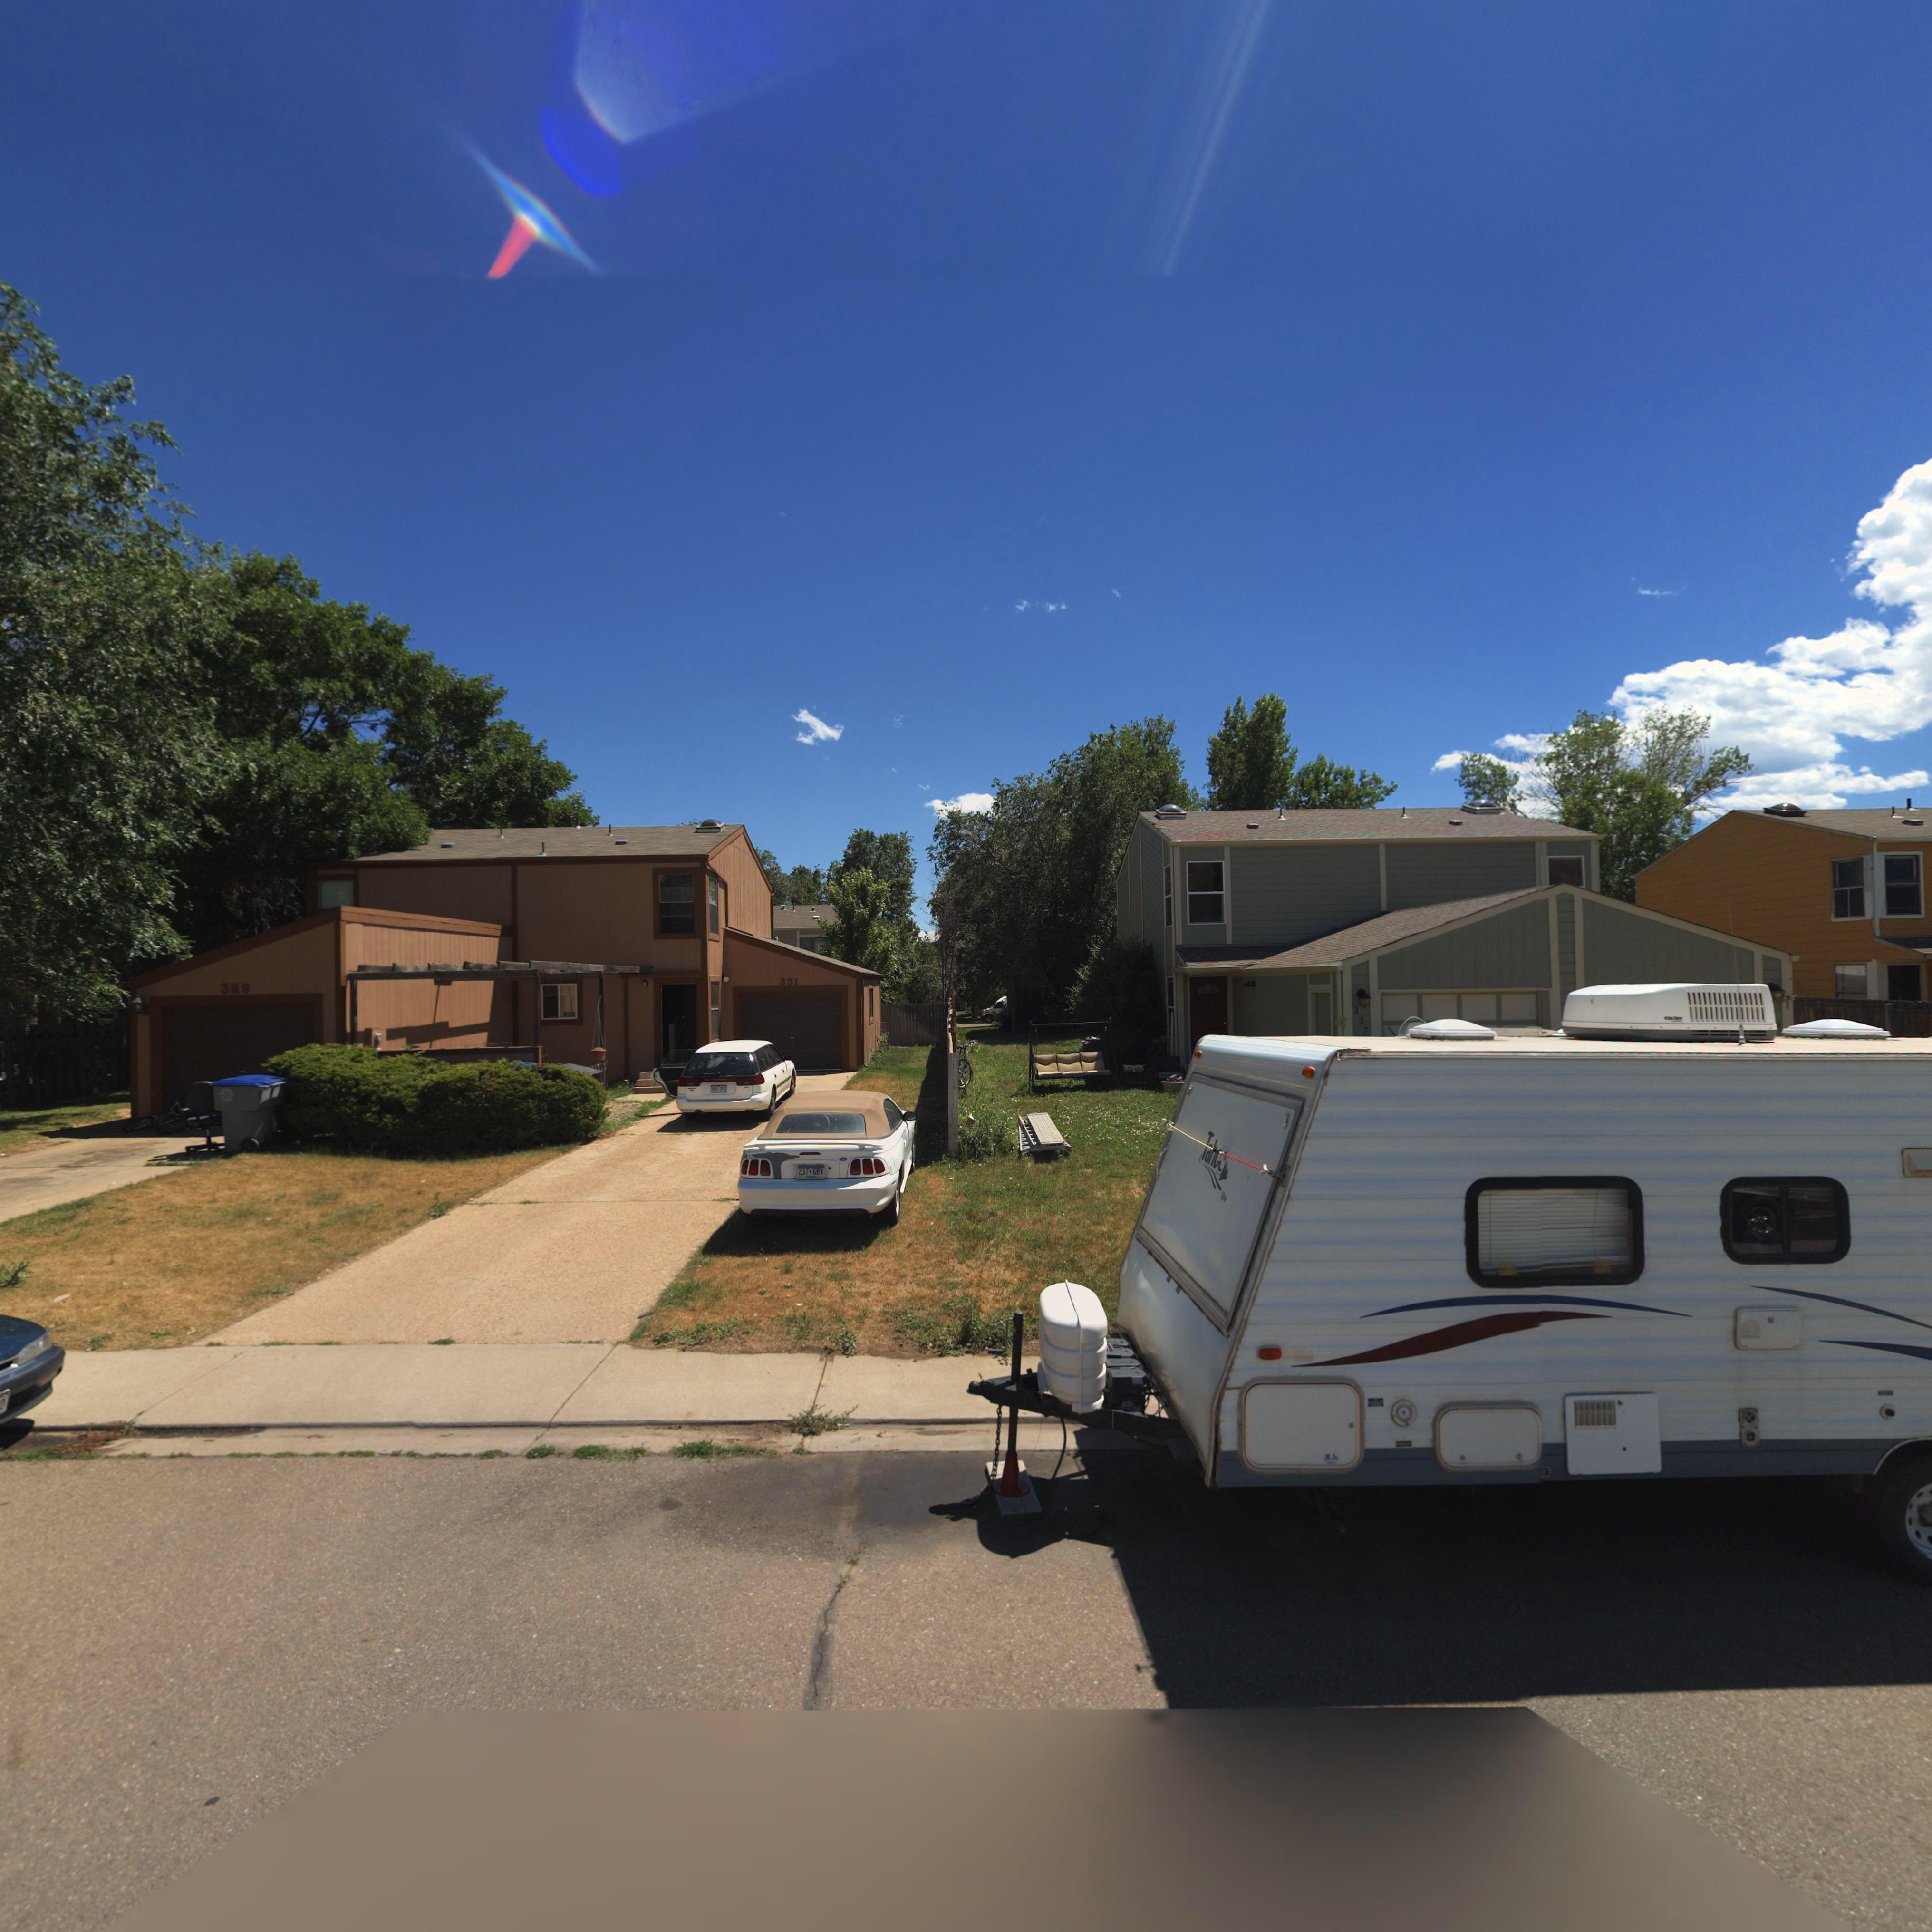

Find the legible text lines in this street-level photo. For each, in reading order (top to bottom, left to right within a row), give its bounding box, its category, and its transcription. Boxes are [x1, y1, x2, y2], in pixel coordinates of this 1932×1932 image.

[779, 977, 798, 985] StreetNumber: 331
[220, 982, 250, 994] StreetNumber: 329
[1353, 1005, 1368, 1034] StreetNumber: 337